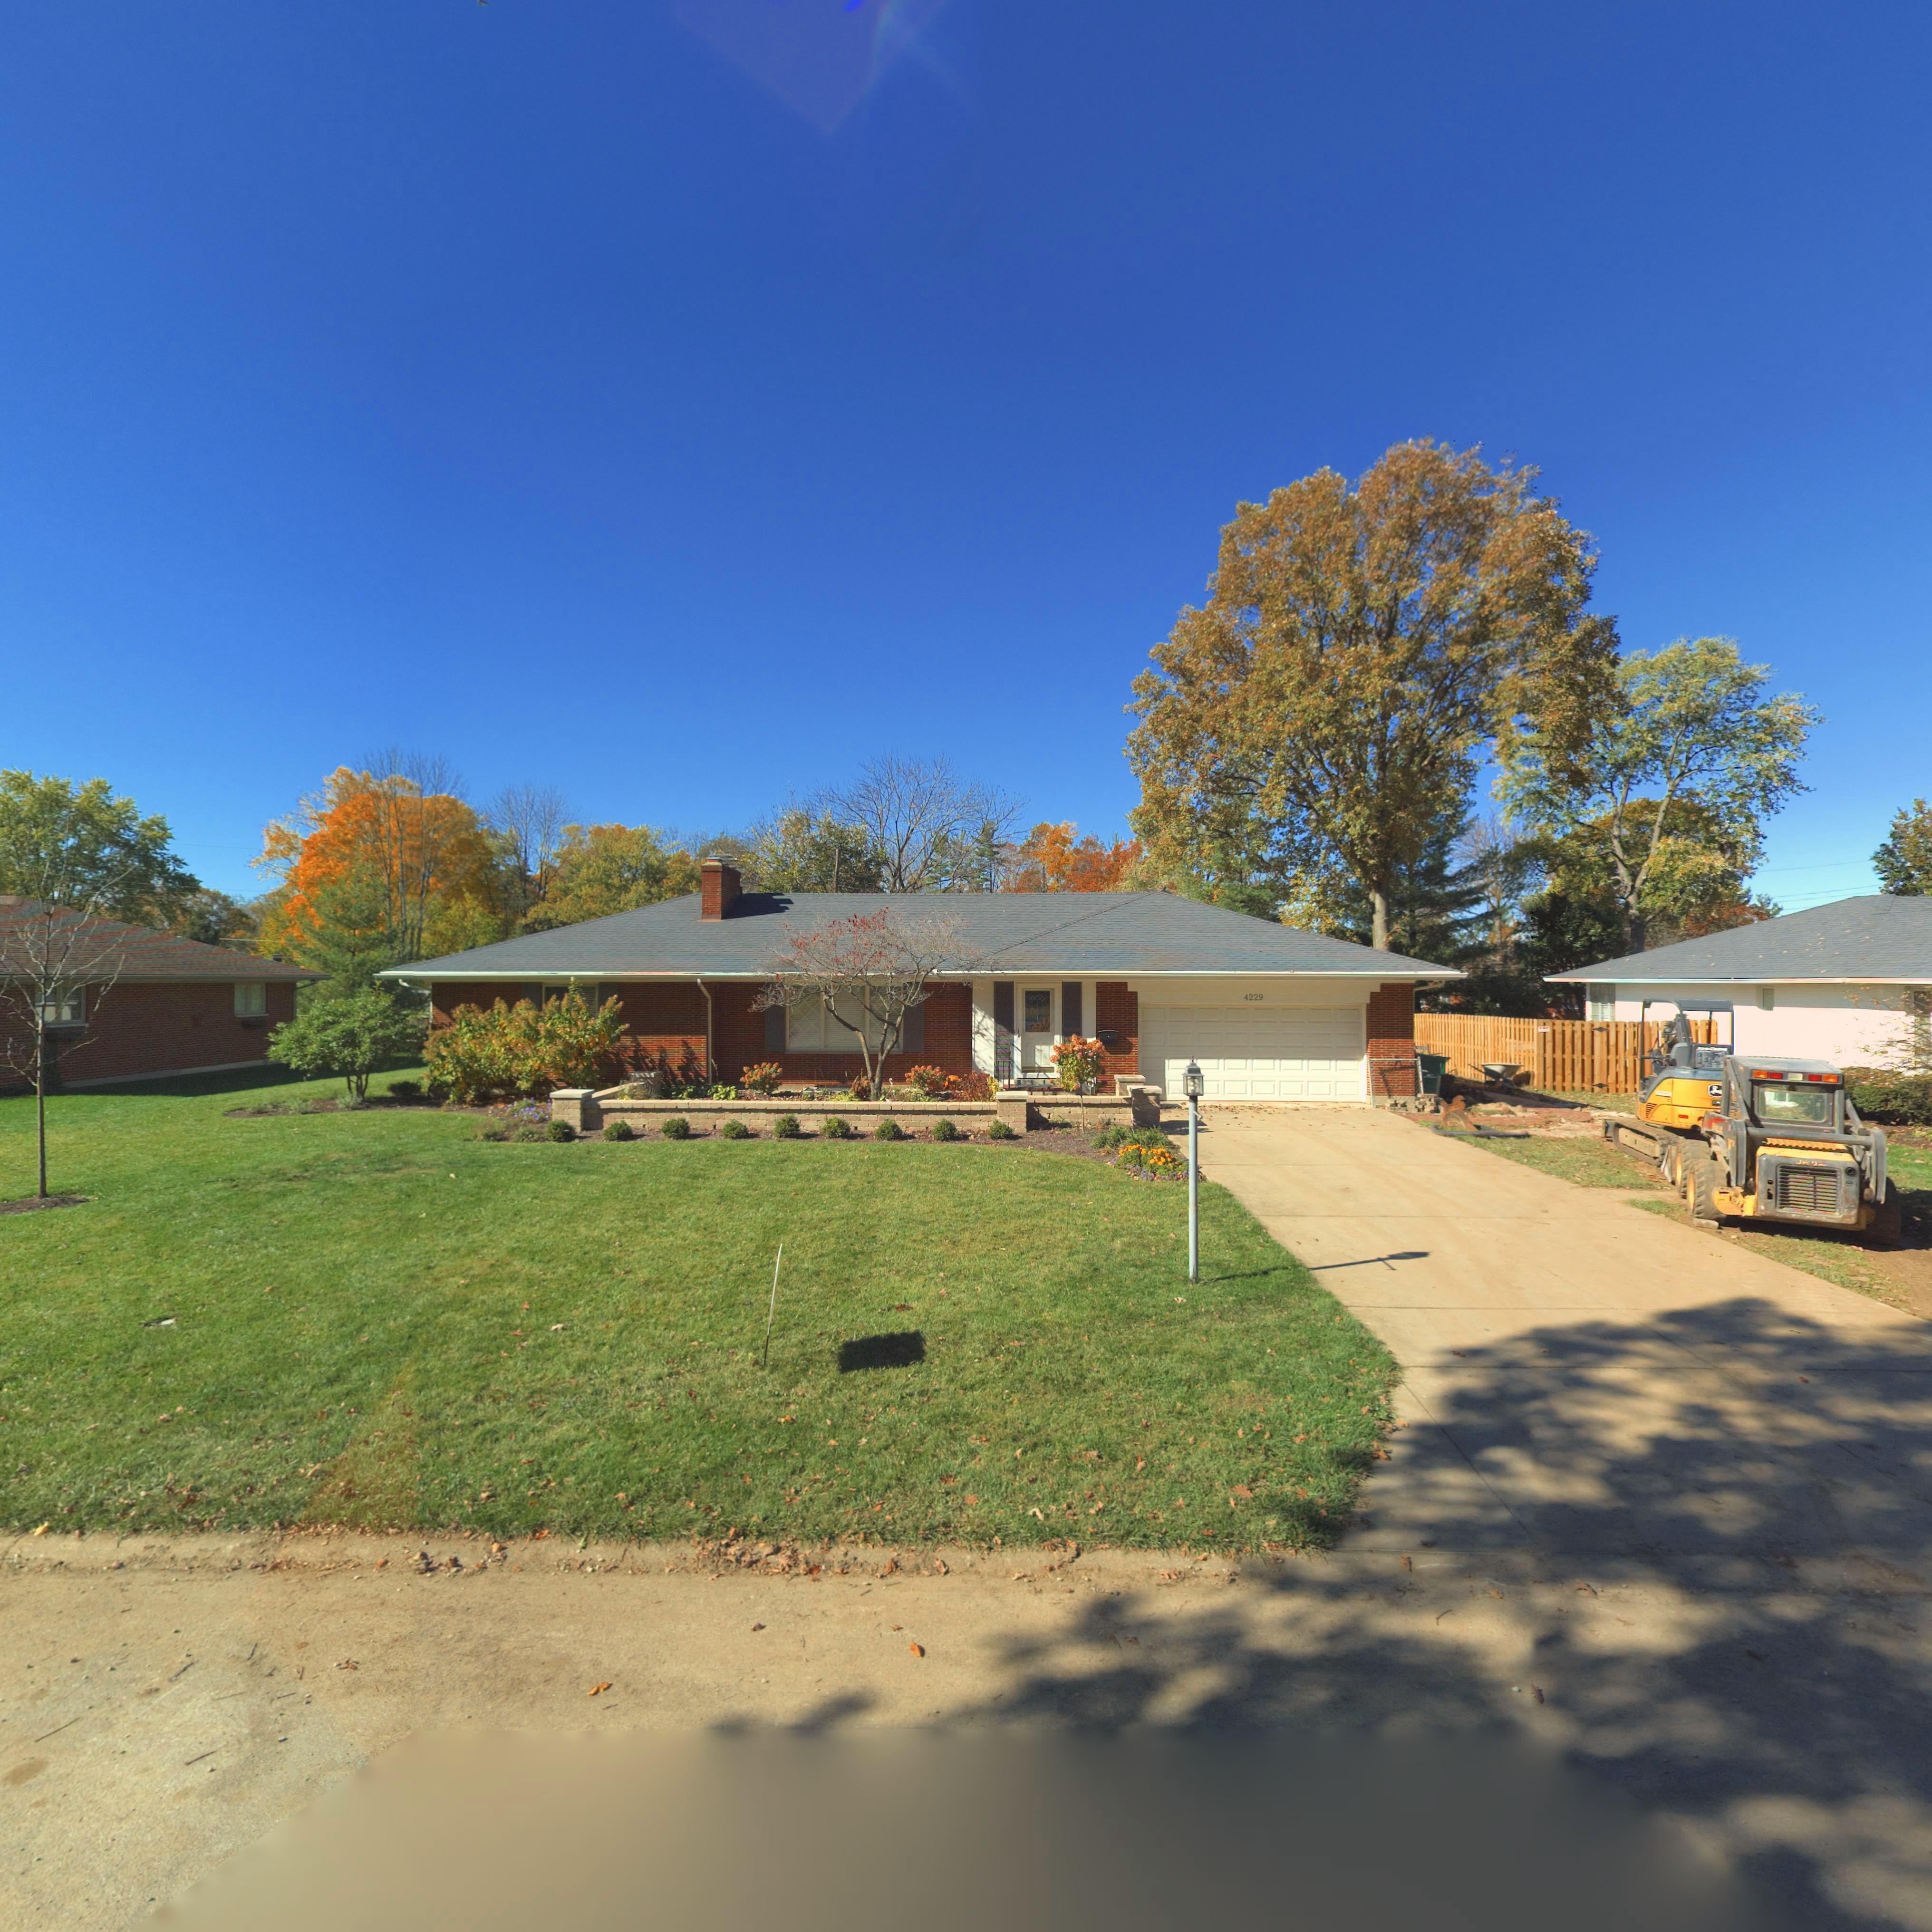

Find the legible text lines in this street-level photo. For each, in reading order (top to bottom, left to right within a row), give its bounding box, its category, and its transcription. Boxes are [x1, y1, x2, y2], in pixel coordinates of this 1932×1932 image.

[1244, 994, 1263, 1001] StreetNumber: 4229